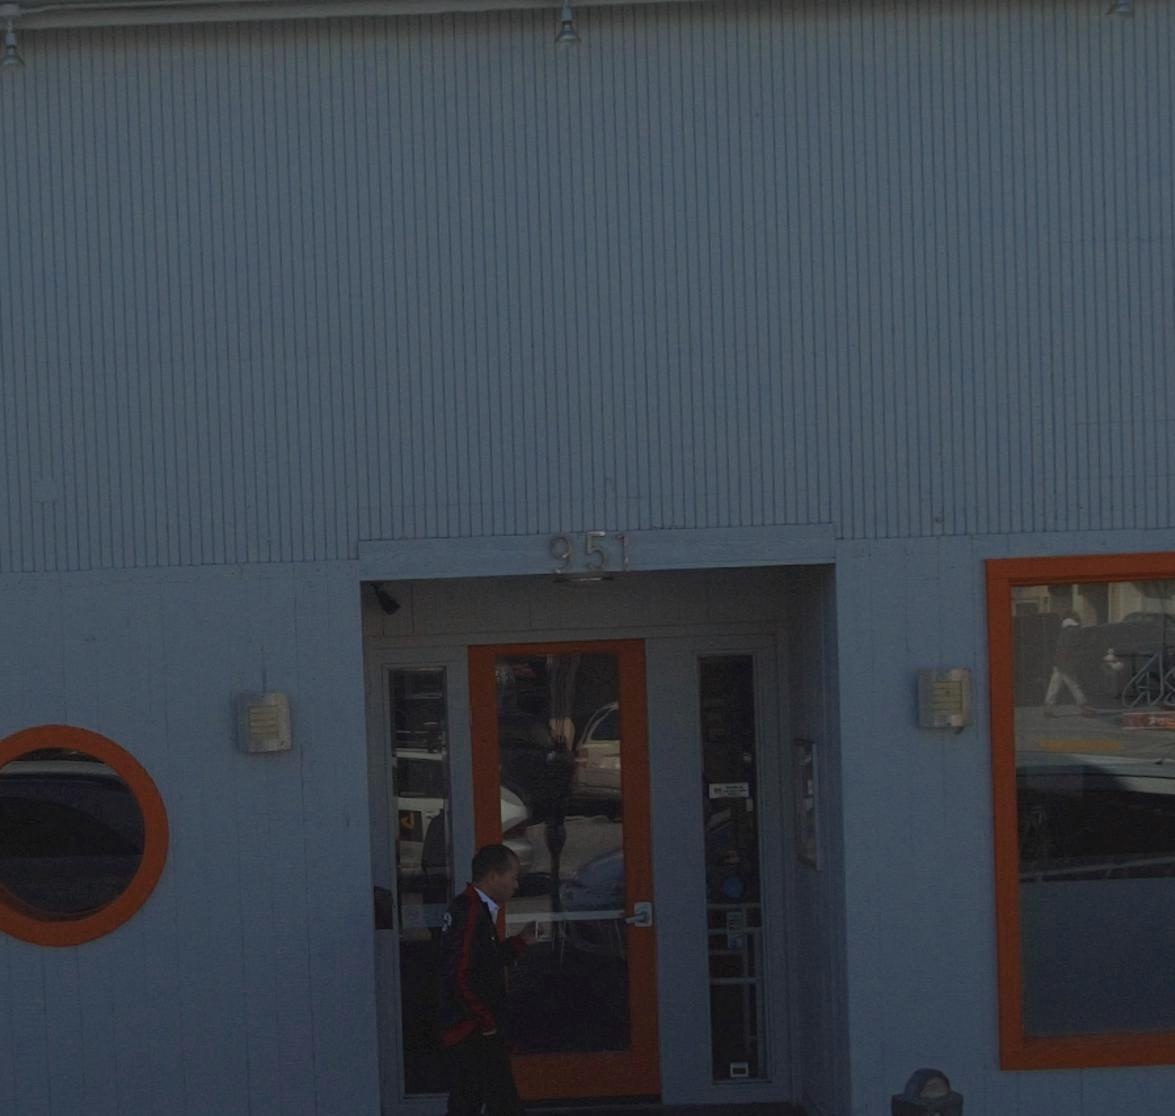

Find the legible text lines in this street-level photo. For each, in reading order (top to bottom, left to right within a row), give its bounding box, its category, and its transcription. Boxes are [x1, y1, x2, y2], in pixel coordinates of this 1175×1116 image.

[541, 525, 635, 580] StreetNumber: 951